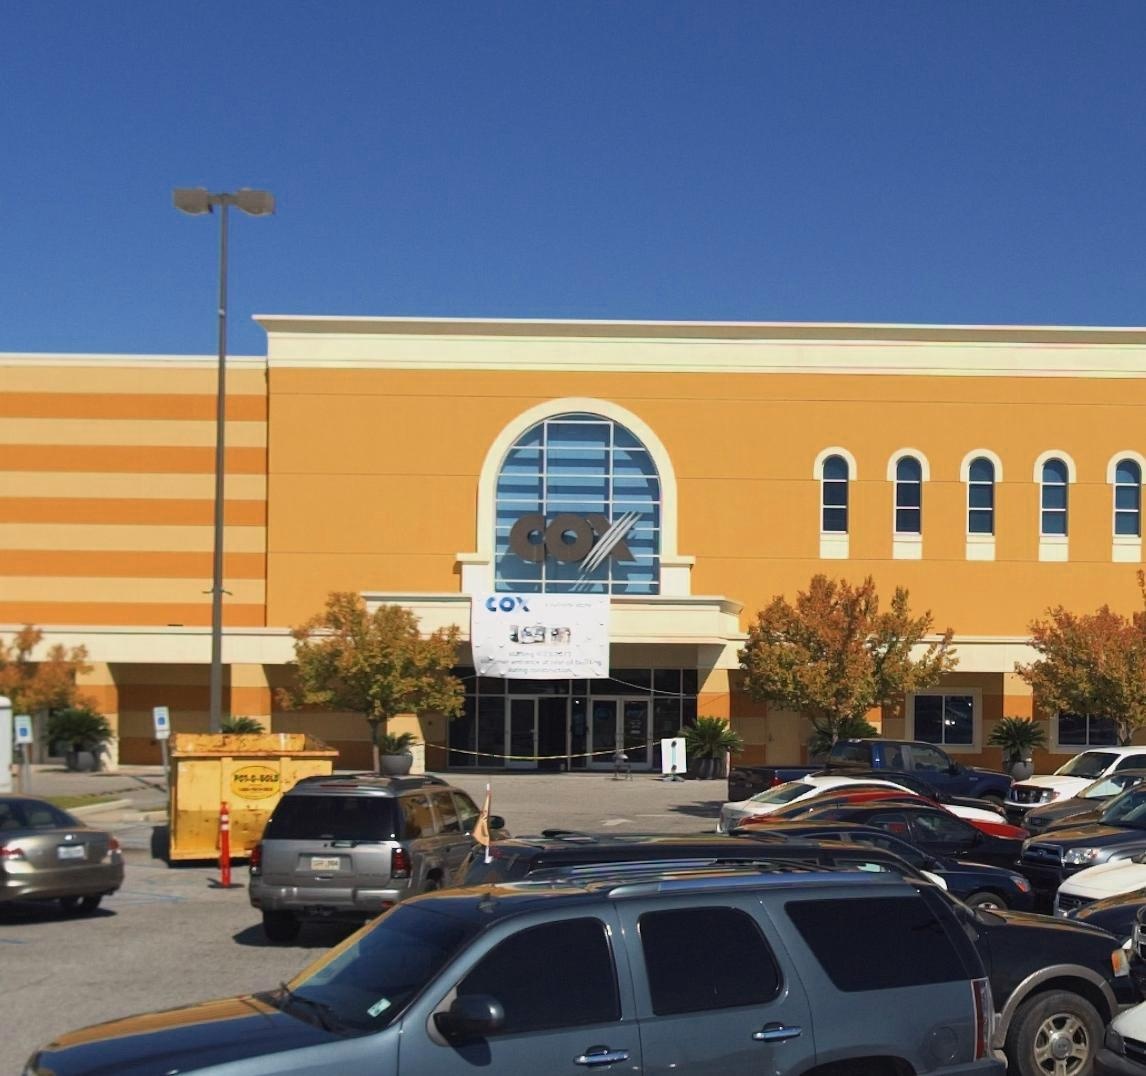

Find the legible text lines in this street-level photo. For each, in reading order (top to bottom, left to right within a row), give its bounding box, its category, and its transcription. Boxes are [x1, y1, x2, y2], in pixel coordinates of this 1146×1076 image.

[508, 508, 644, 565] BusinessName: COX
[483, 594, 534, 615] BusinessName: COX